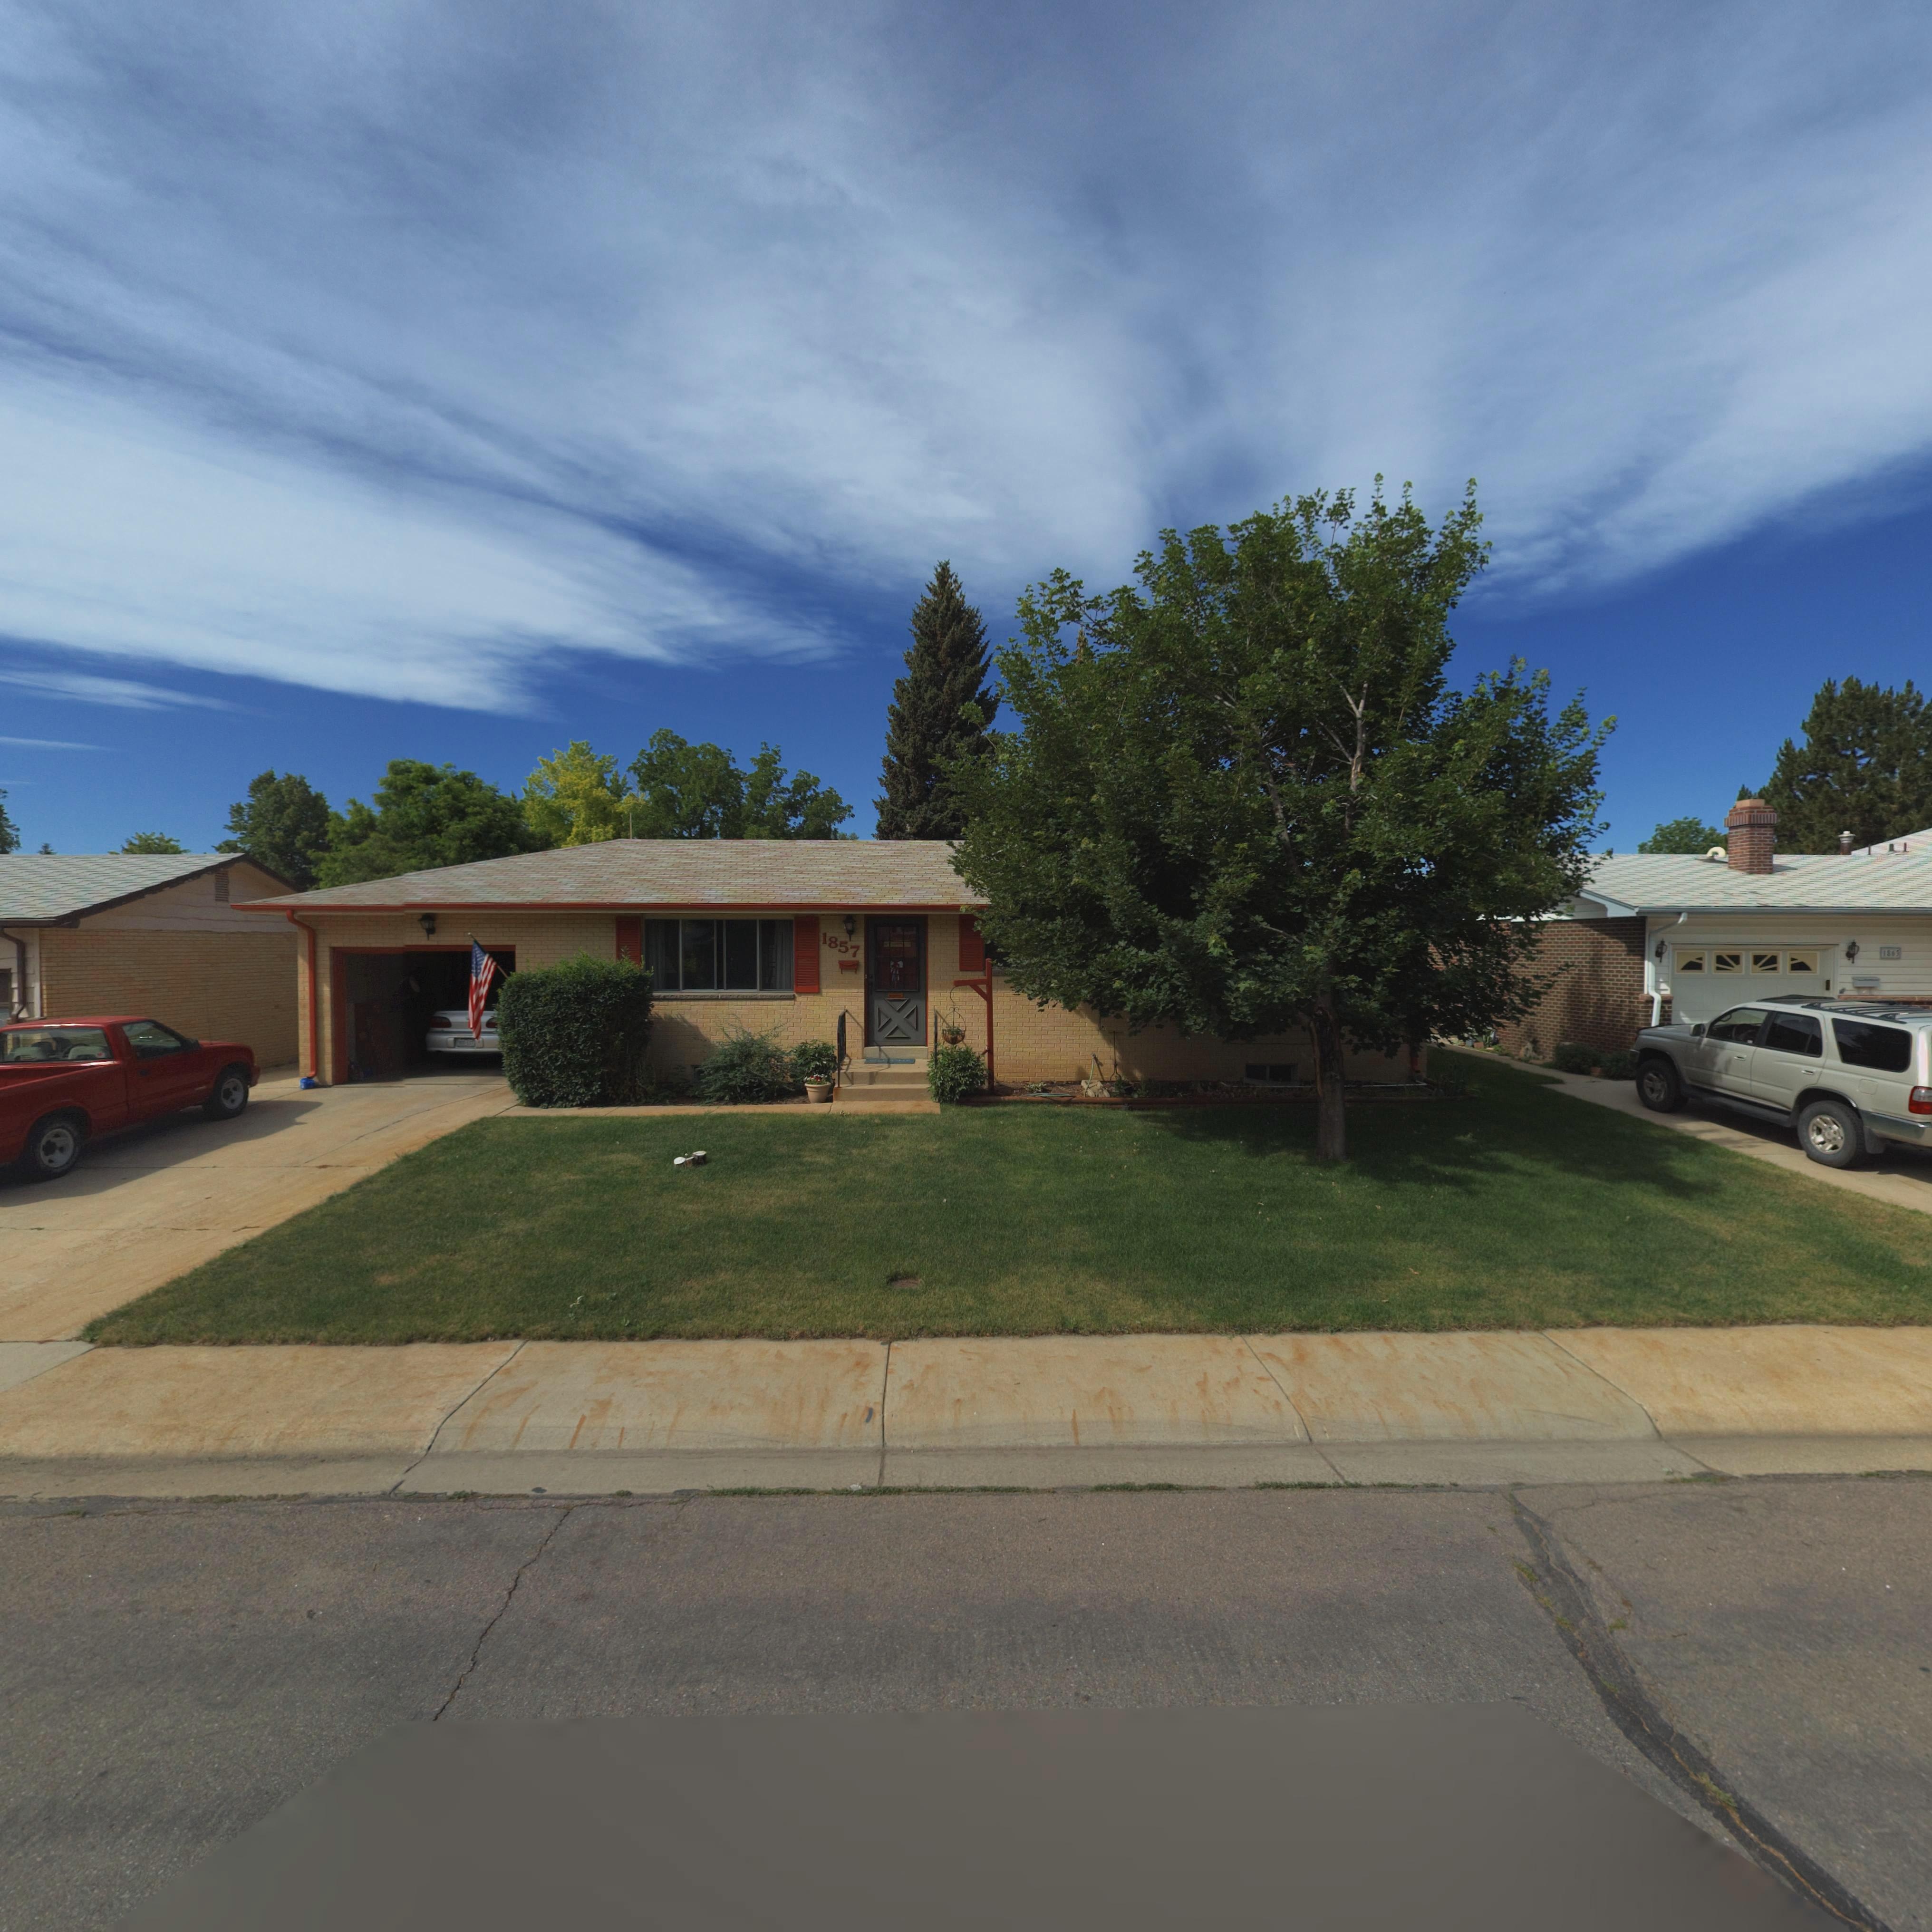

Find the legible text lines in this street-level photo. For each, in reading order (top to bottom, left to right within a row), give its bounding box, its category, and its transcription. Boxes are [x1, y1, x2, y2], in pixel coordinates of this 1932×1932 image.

[821, 932, 860, 958] StreetNumber: 1857
[1883, 949, 1900, 956] StreetNumber: 1863